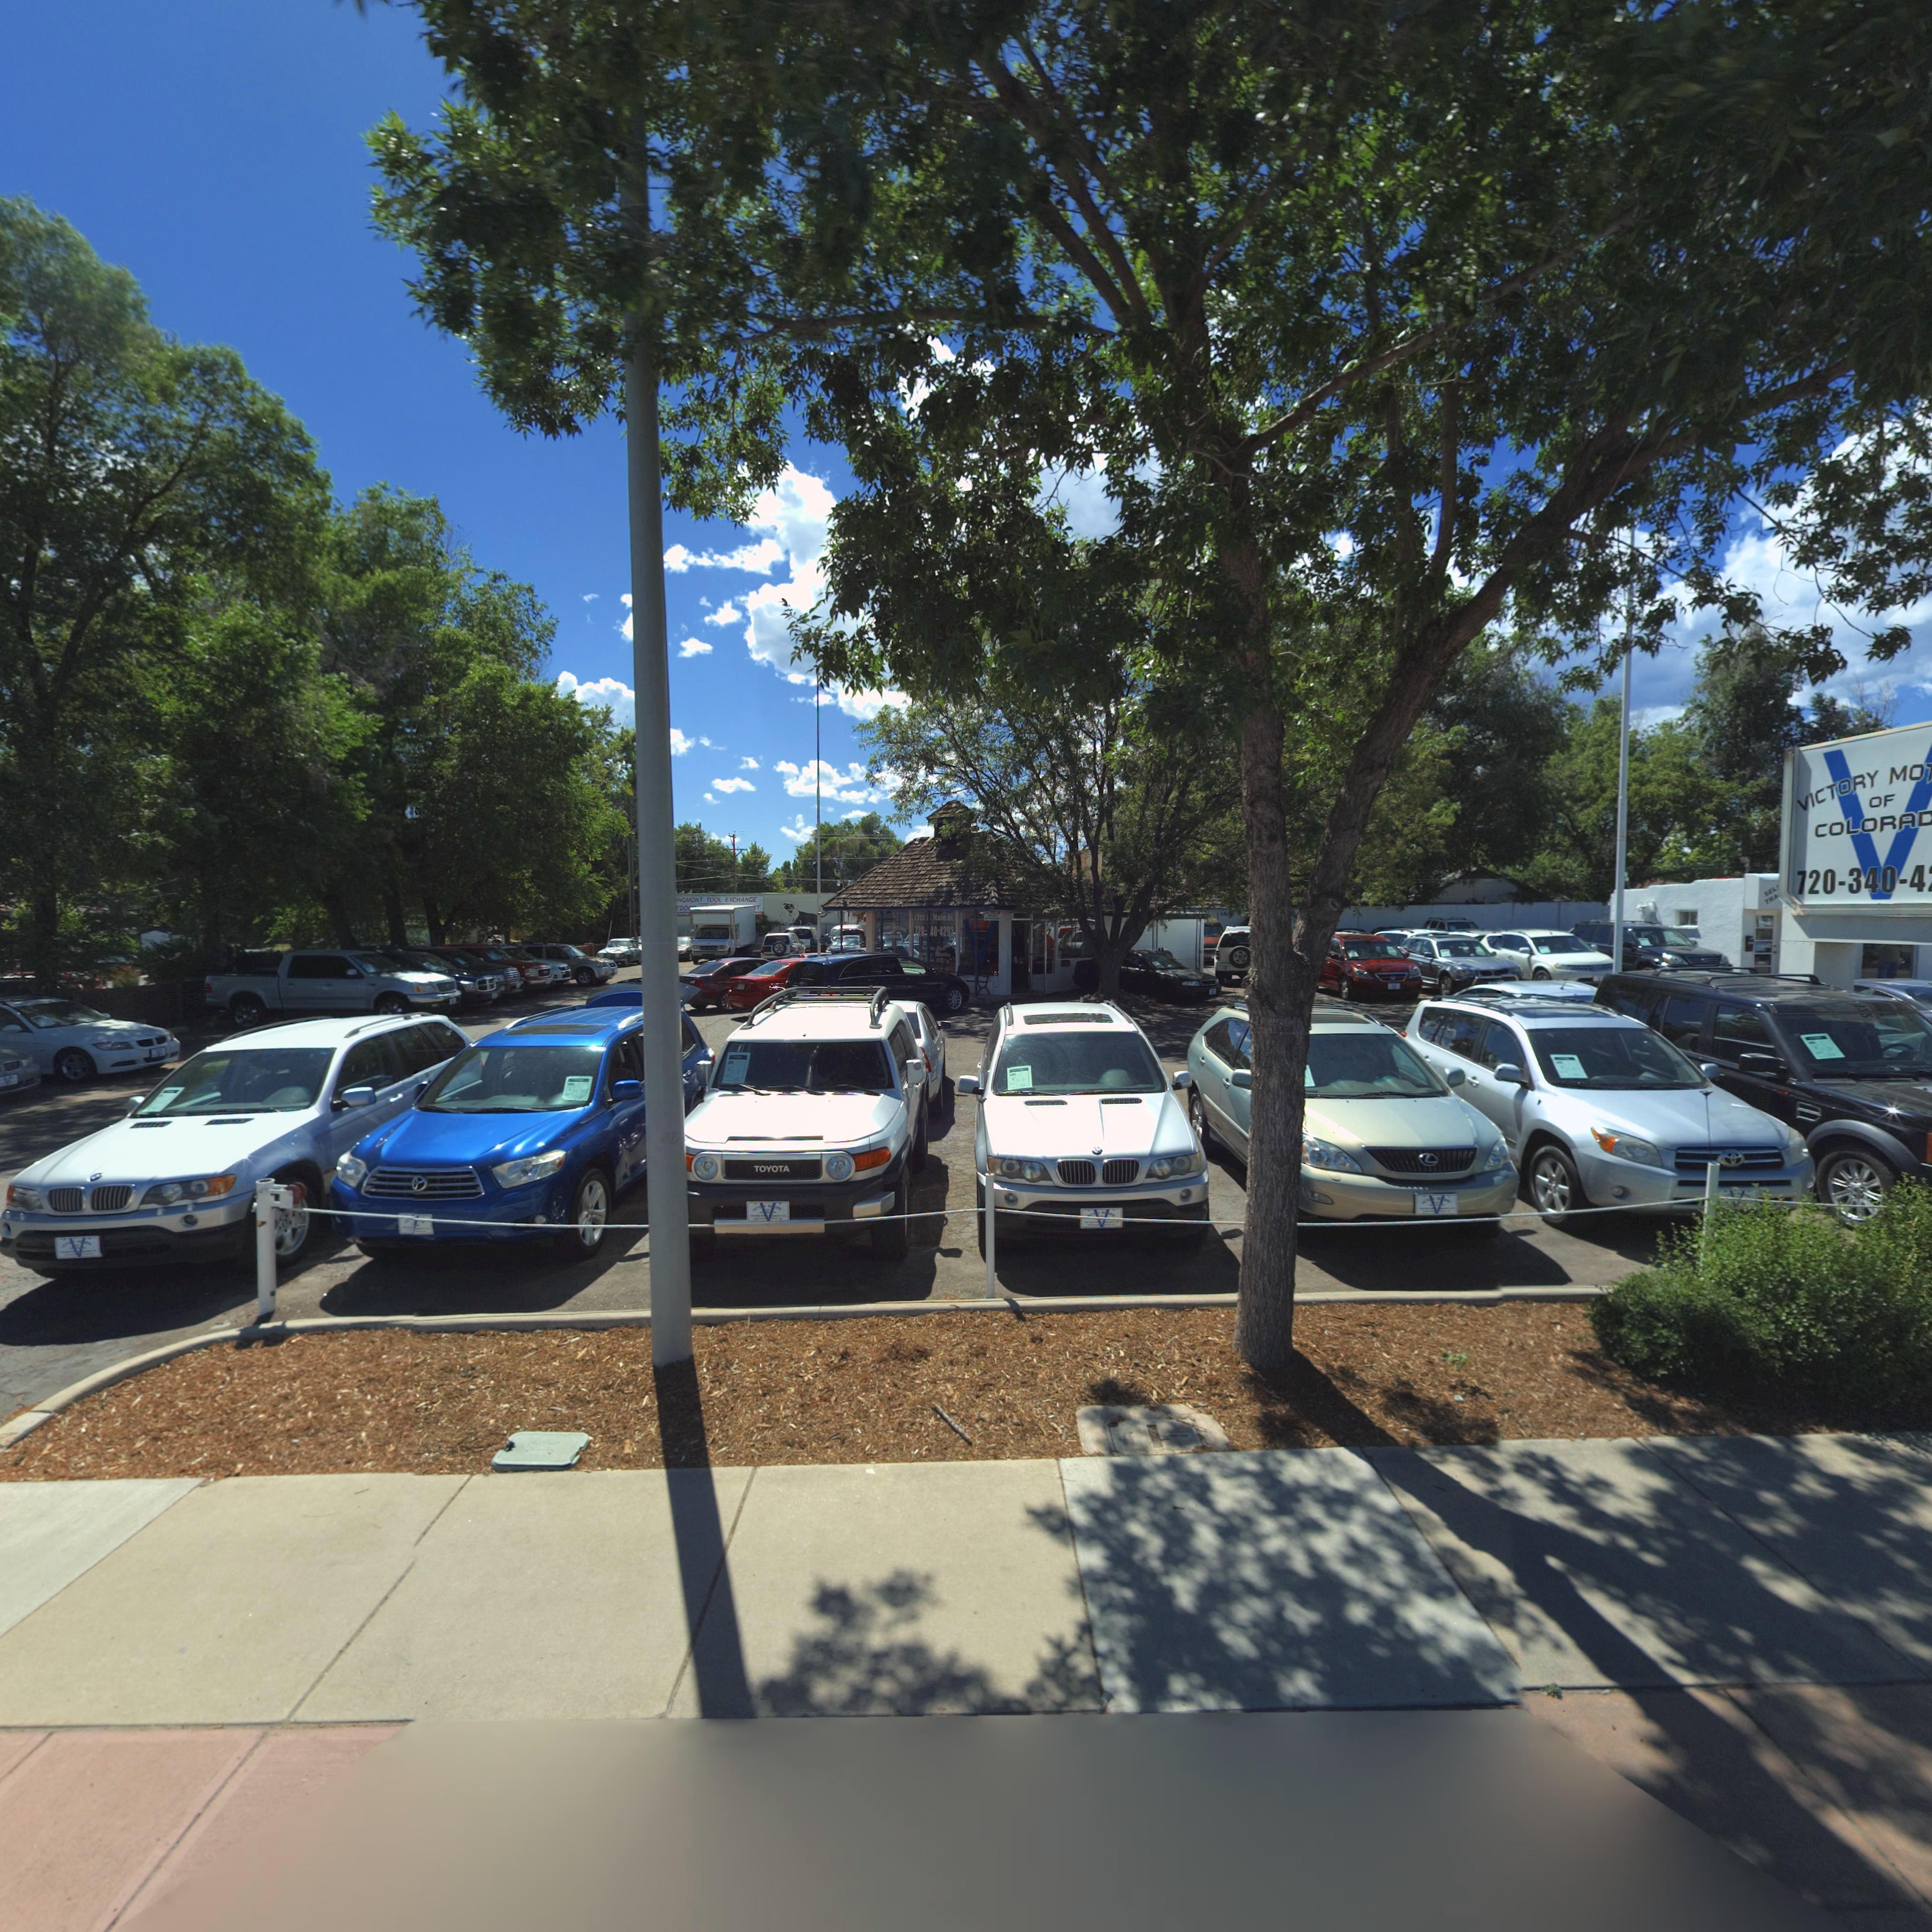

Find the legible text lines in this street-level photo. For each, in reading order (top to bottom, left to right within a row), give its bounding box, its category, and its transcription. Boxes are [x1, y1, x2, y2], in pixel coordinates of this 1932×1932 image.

[1796, 763, 1926, 812] BusinessName: VICTORY MO****
[1869, 793, 1895, 808] BusinessName: OF
[1813, 812, 1916, 839] BusinessName: COLORA
[675, 897, 757, 902] BusinessName: **NGMONT TOOL EXCHANGE
[675, 905, 696, 910] BusinessName: TDO***
[914, 915, 925, 920] StreetNumber: 1325
[926, 914, 953, 921] StreetName: * Main St